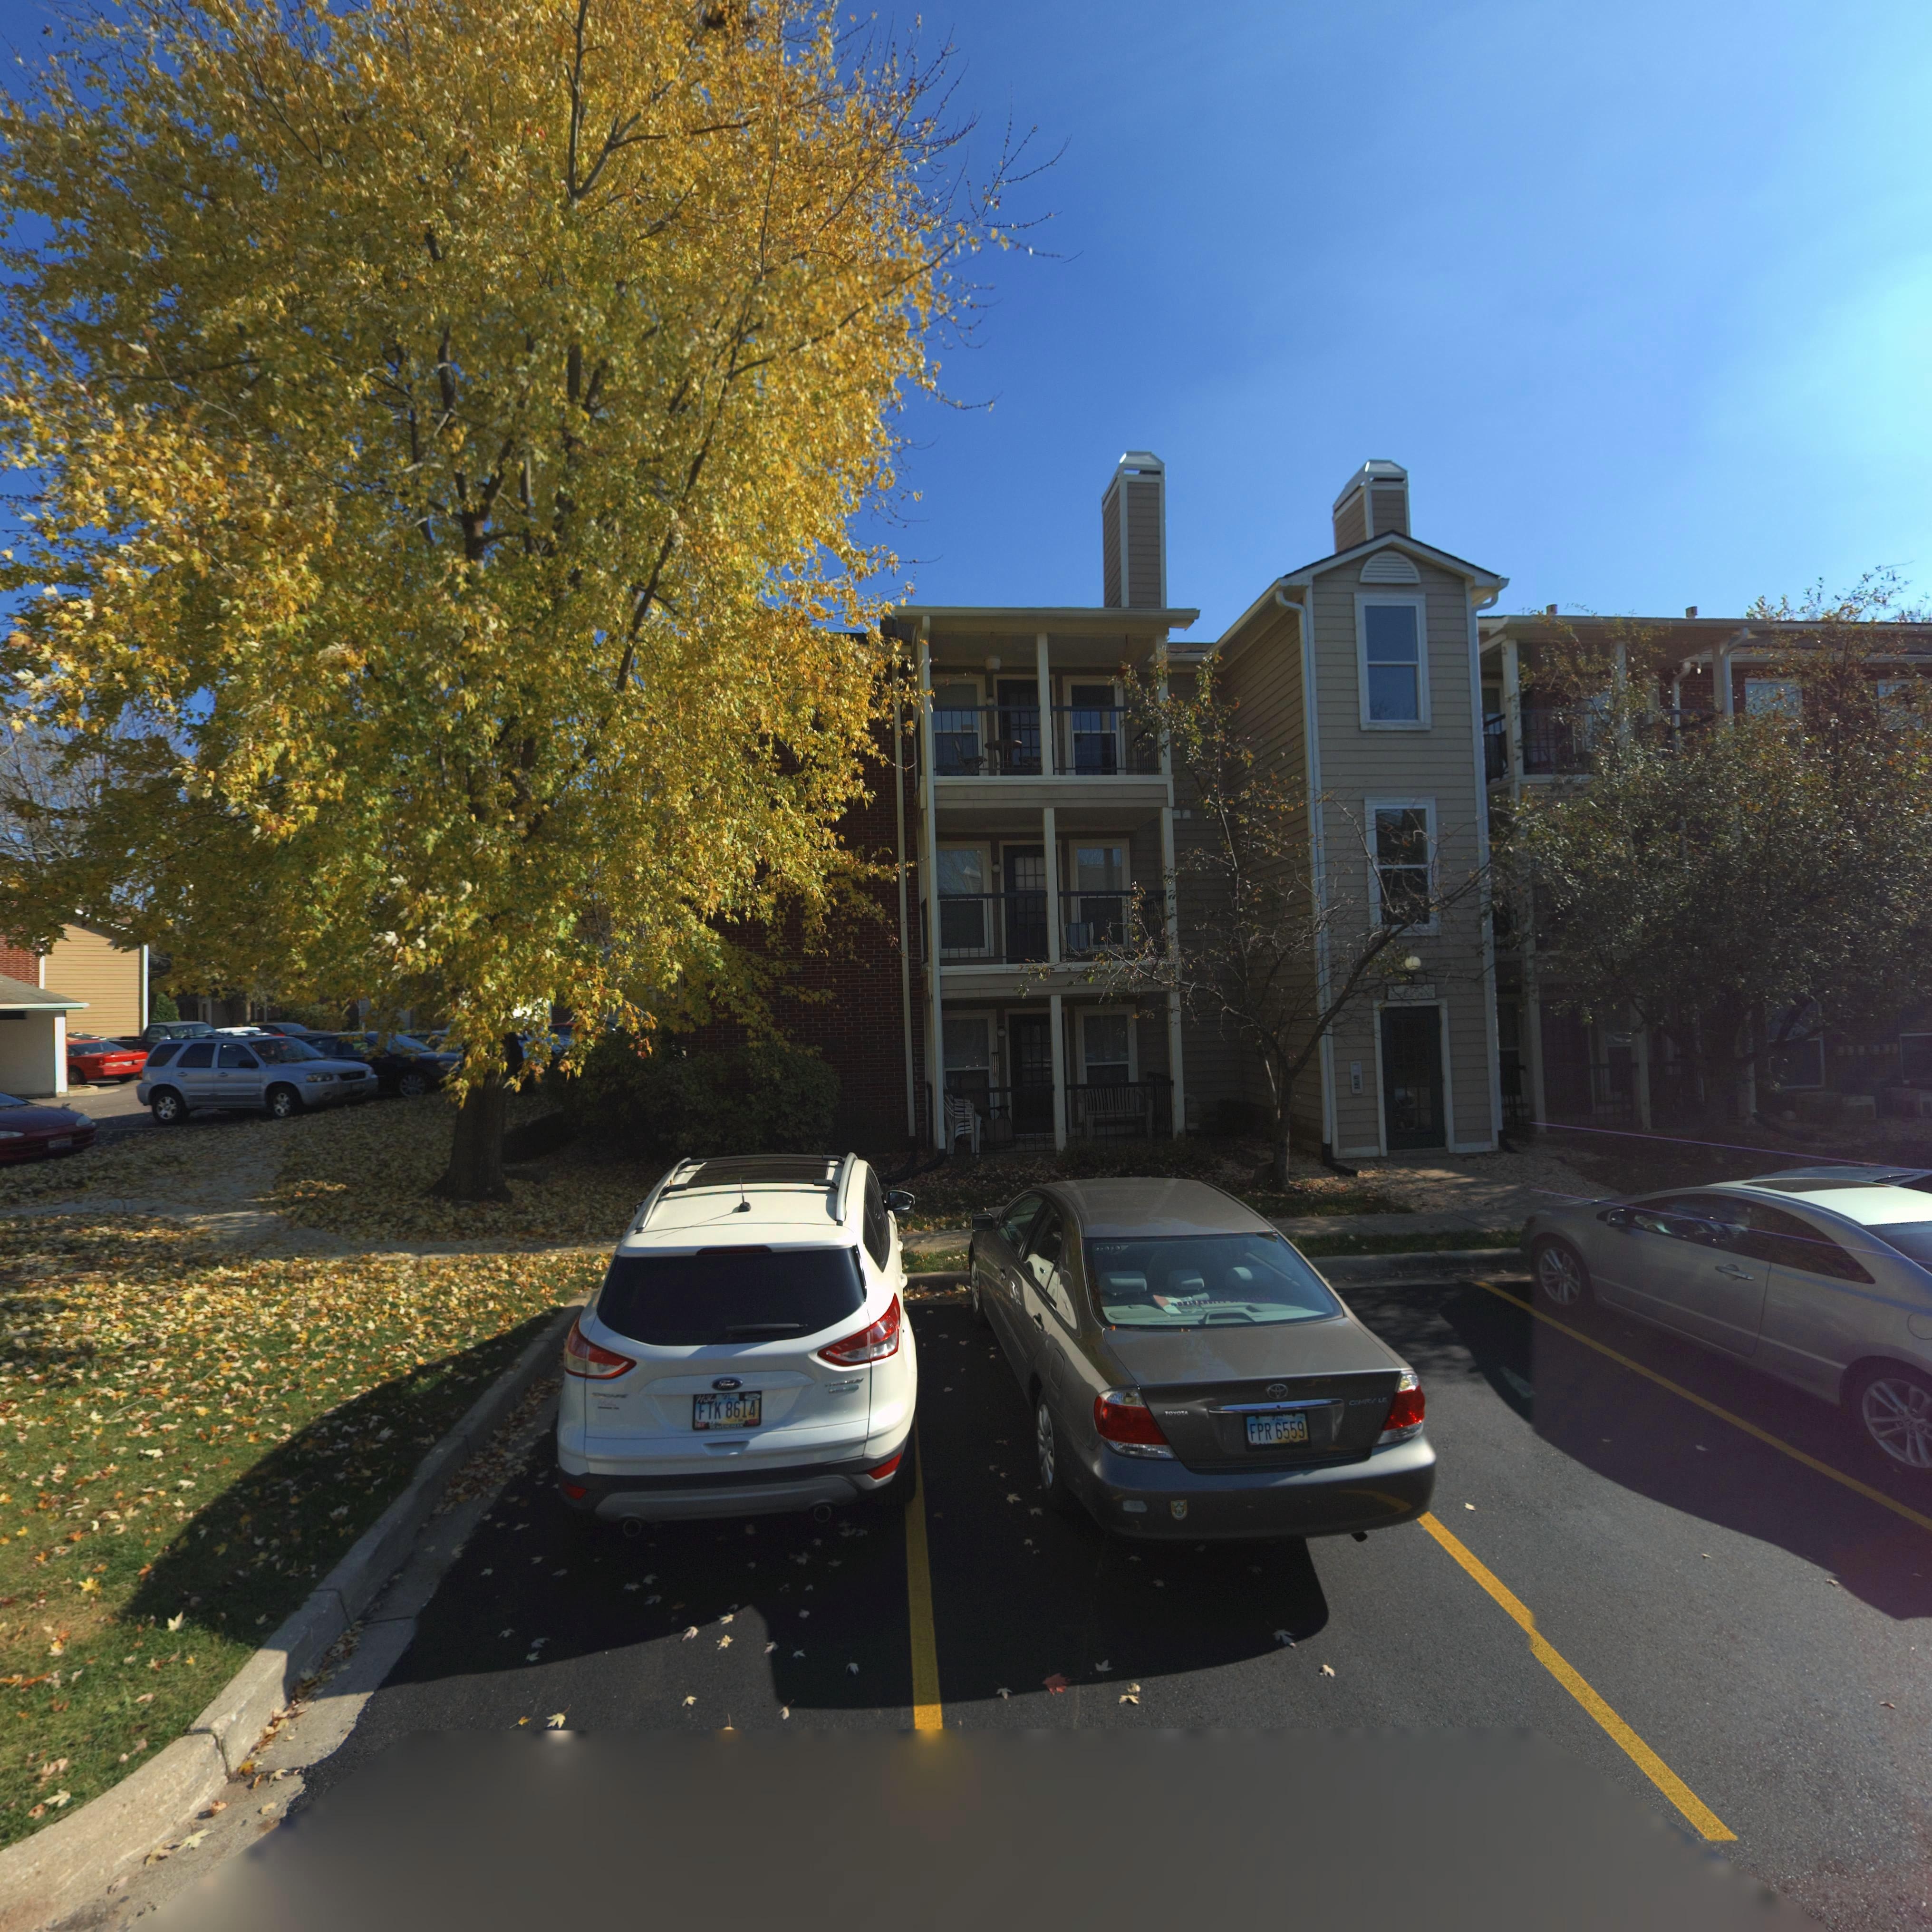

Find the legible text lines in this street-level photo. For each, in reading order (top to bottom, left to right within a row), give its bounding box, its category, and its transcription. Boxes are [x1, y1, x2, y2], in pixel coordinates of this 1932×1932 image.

[697, 1398, 757, 1422] None: FTK 8614
[1162, 1409, 1190, 1418] None: TOYOTA
[1348, 1399, 1355, 1407] None: C
[1249, 1420, 1306, 1442] None: FPR 6559